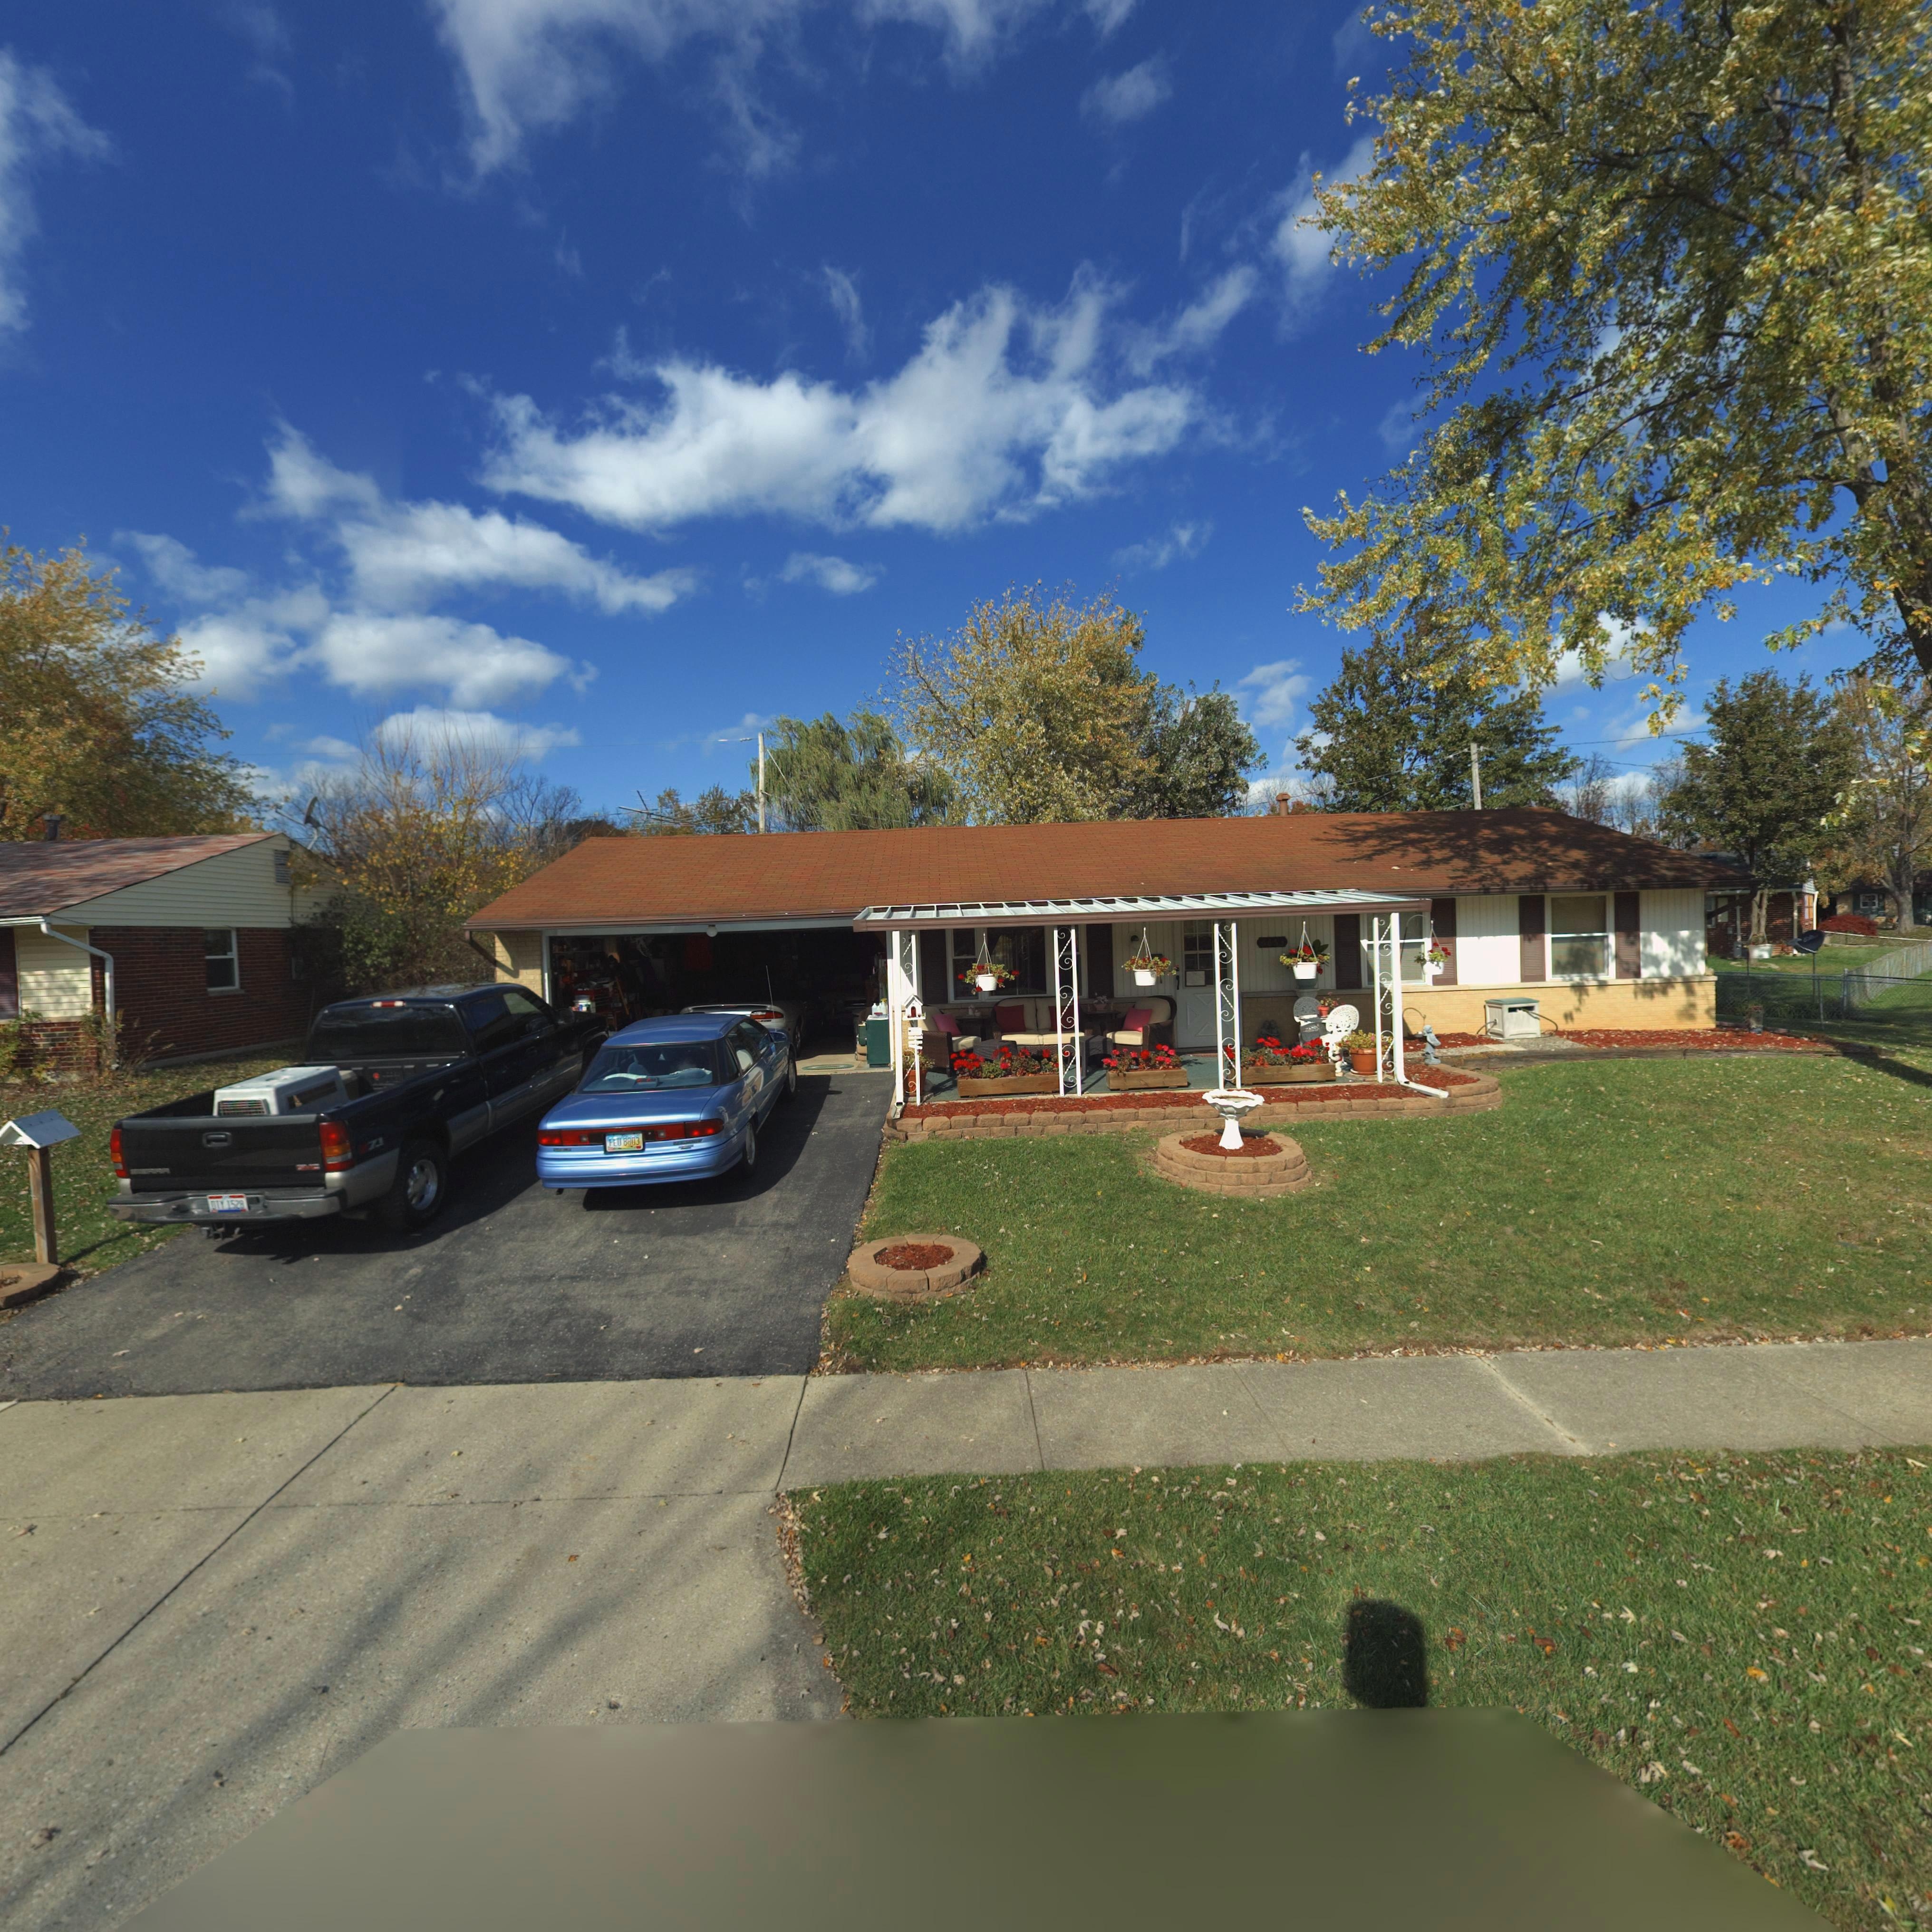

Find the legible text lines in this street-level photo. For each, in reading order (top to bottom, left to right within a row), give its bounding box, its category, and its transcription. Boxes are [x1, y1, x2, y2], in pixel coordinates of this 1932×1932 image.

[1259, 937, 1285, 947] StreetNumber: 6663